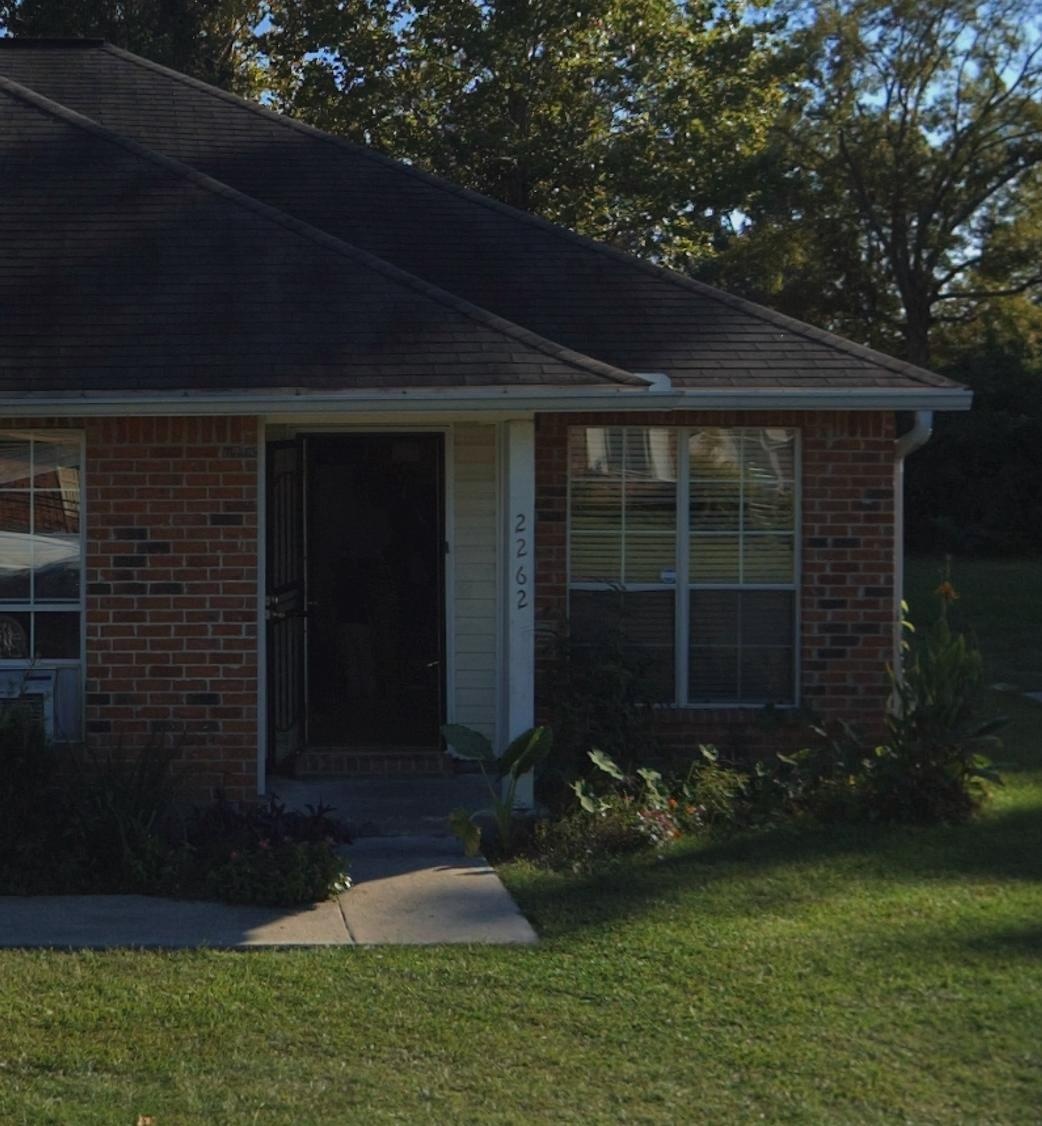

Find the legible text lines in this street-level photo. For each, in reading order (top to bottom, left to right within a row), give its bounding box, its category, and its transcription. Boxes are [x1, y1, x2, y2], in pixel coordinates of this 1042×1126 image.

[513, 512, 530, 611] StreetNumber: 2262